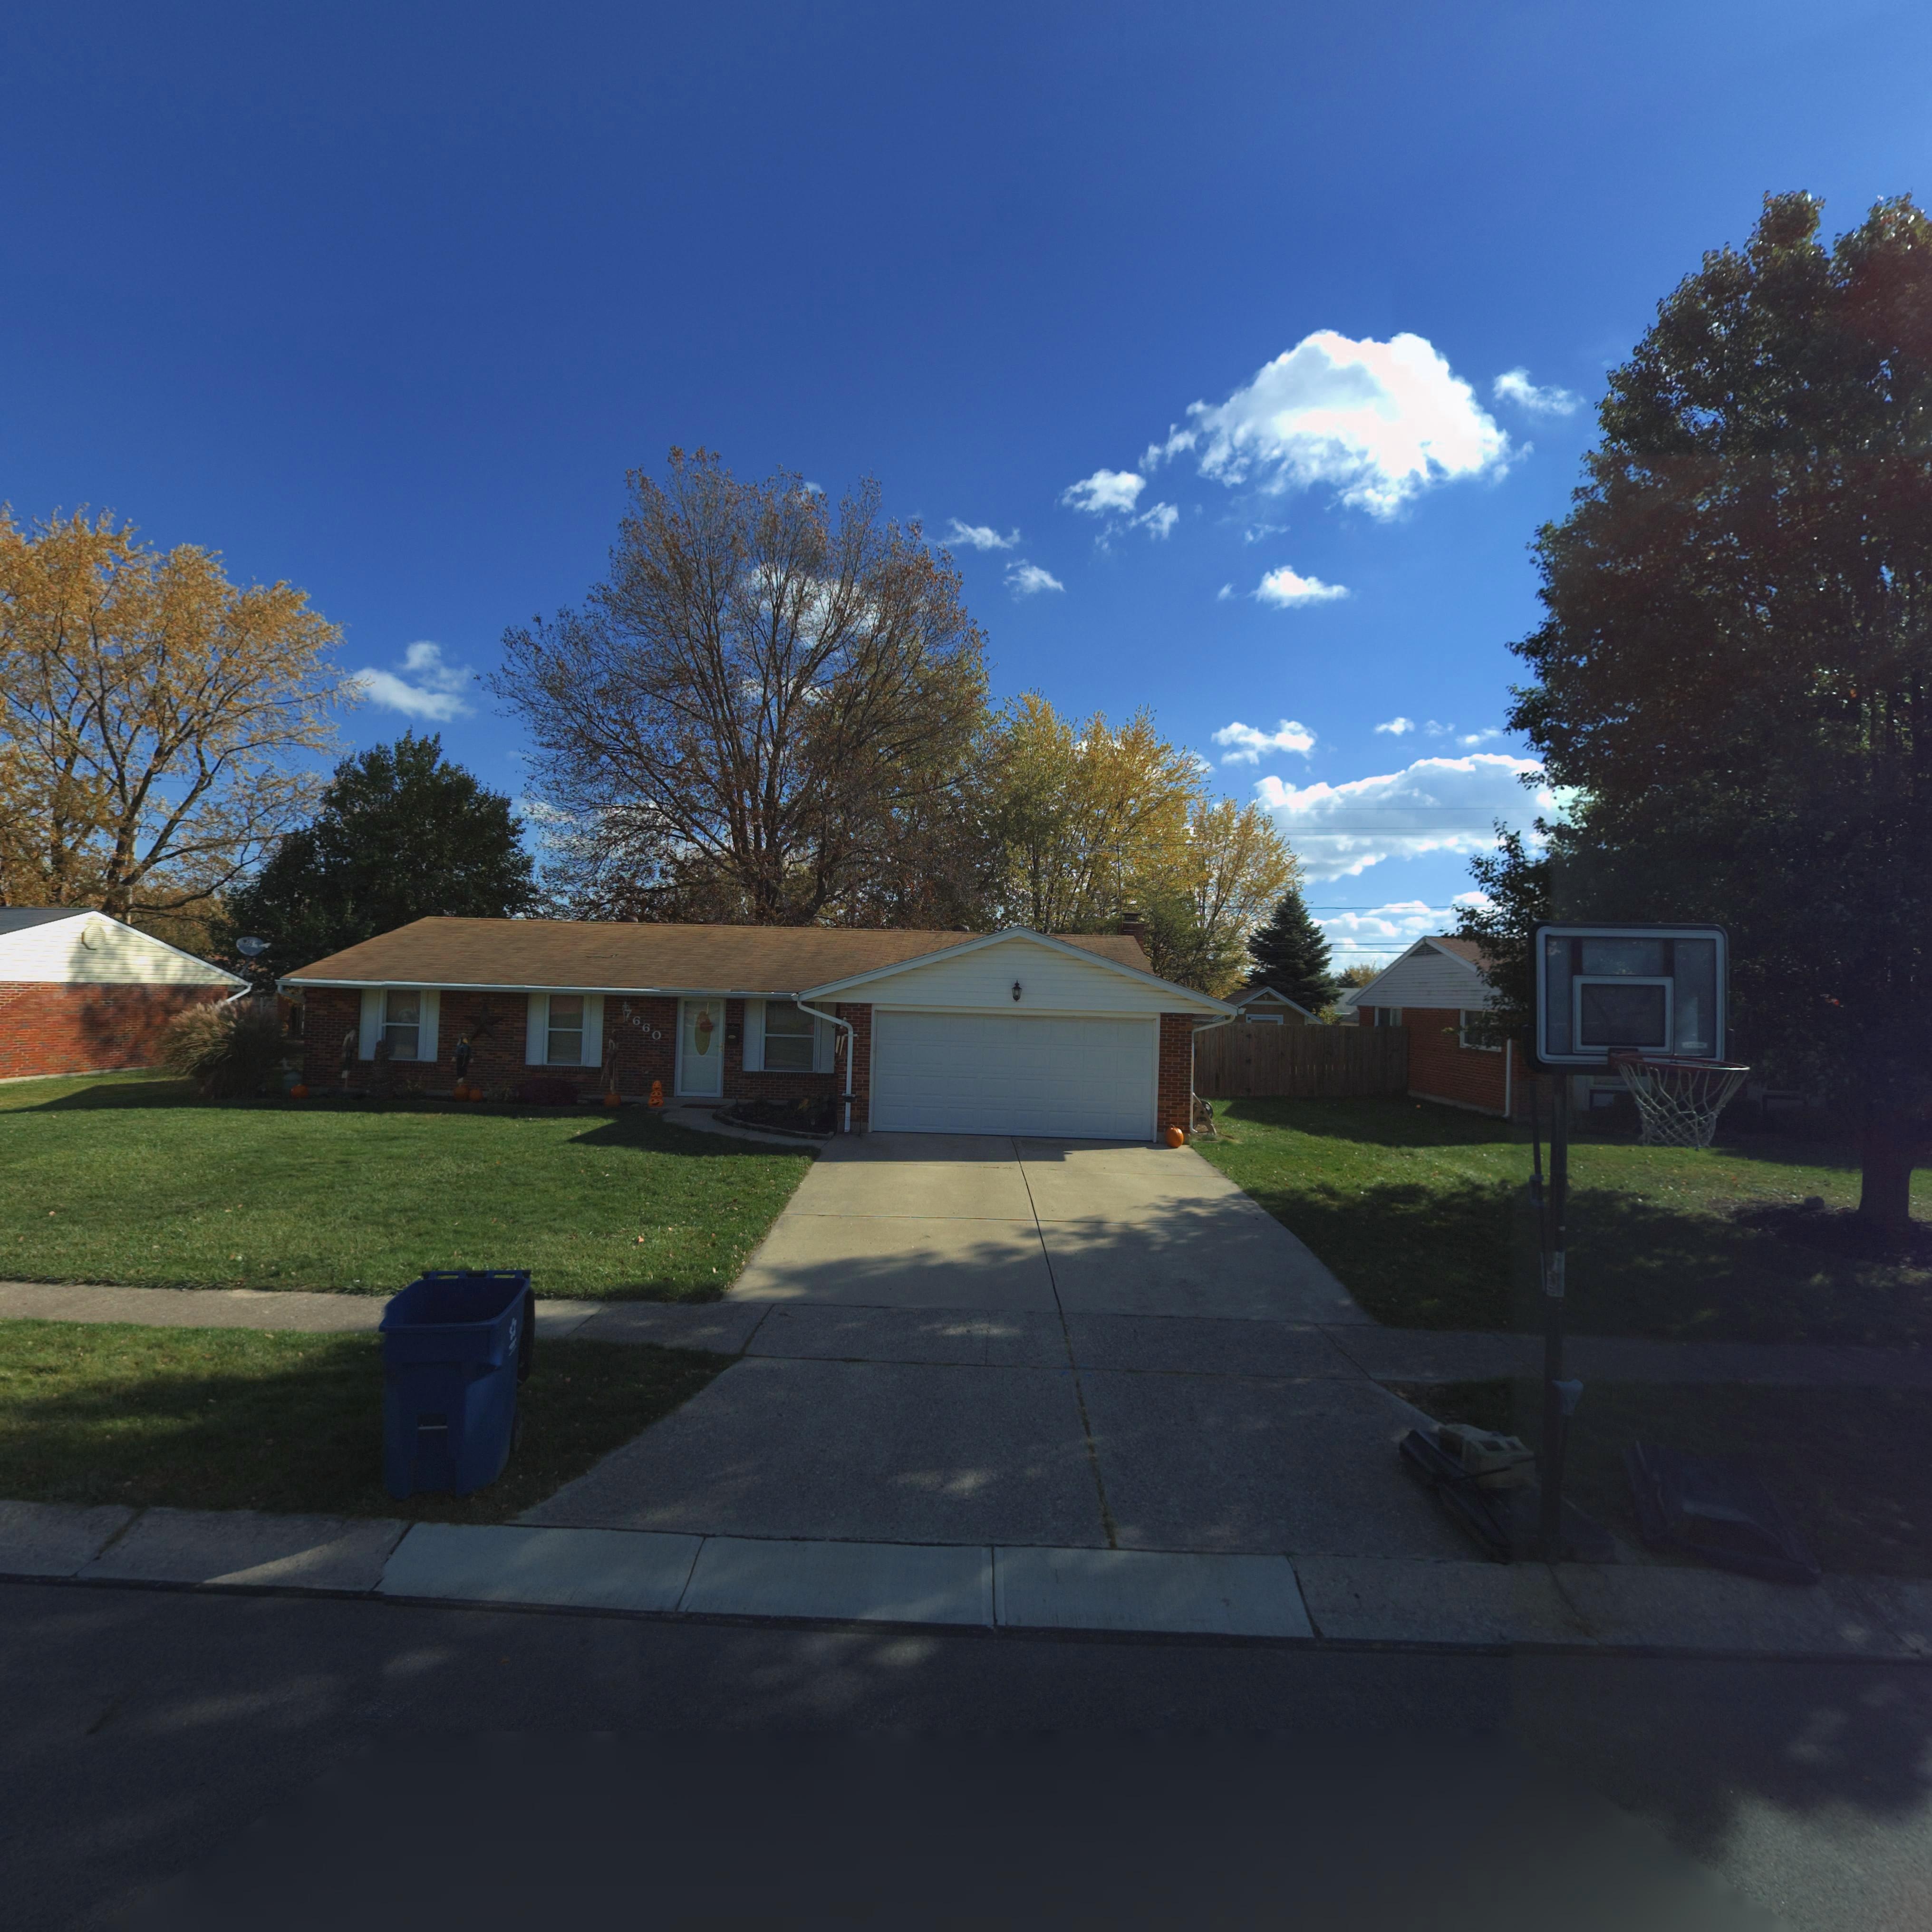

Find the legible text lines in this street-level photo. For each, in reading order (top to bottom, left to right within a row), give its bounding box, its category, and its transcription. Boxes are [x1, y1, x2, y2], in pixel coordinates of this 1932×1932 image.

[624, 1008, 663, 1042] StreetNumber: *660